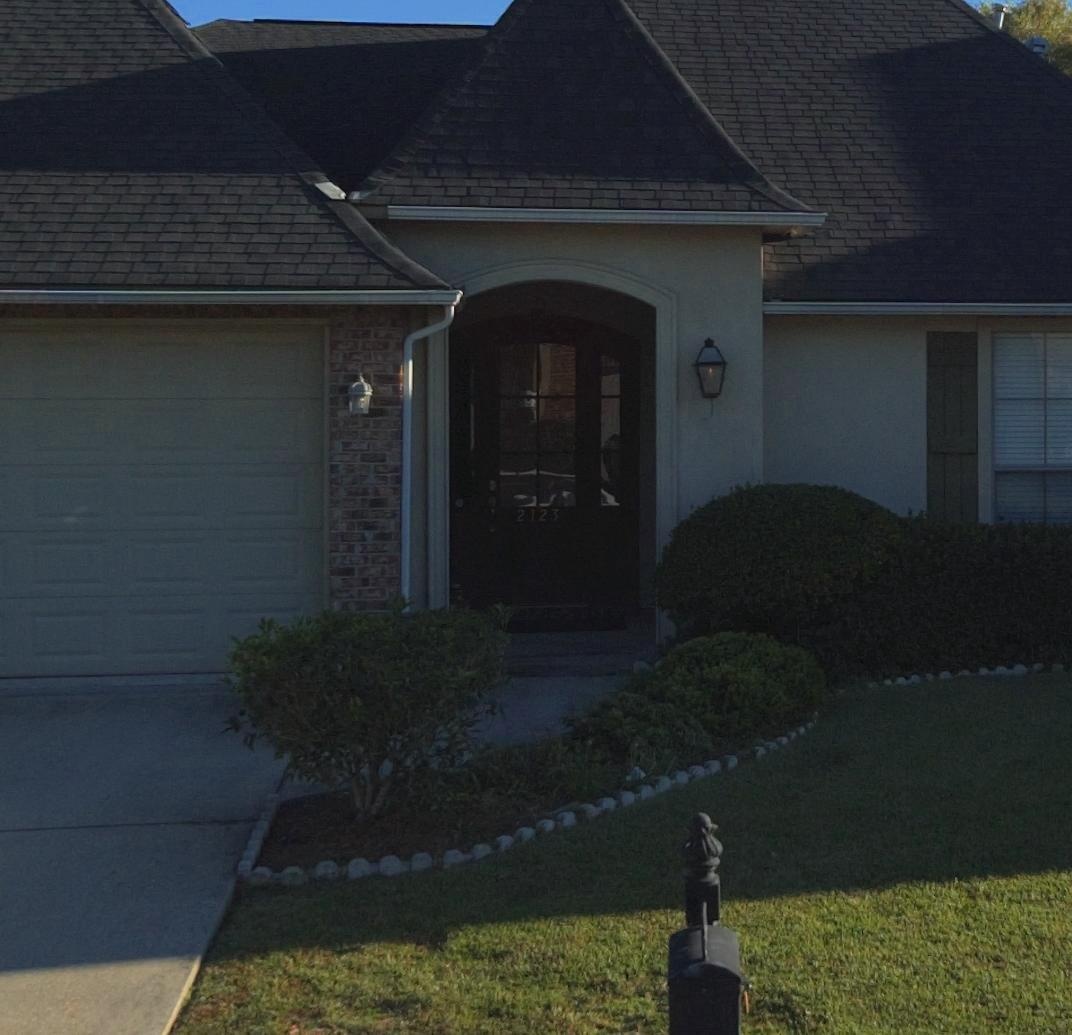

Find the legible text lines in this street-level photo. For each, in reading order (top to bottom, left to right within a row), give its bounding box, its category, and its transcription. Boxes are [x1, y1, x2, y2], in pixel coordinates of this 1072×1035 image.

[515, 507, 561, 523] StreetNumber: 2123